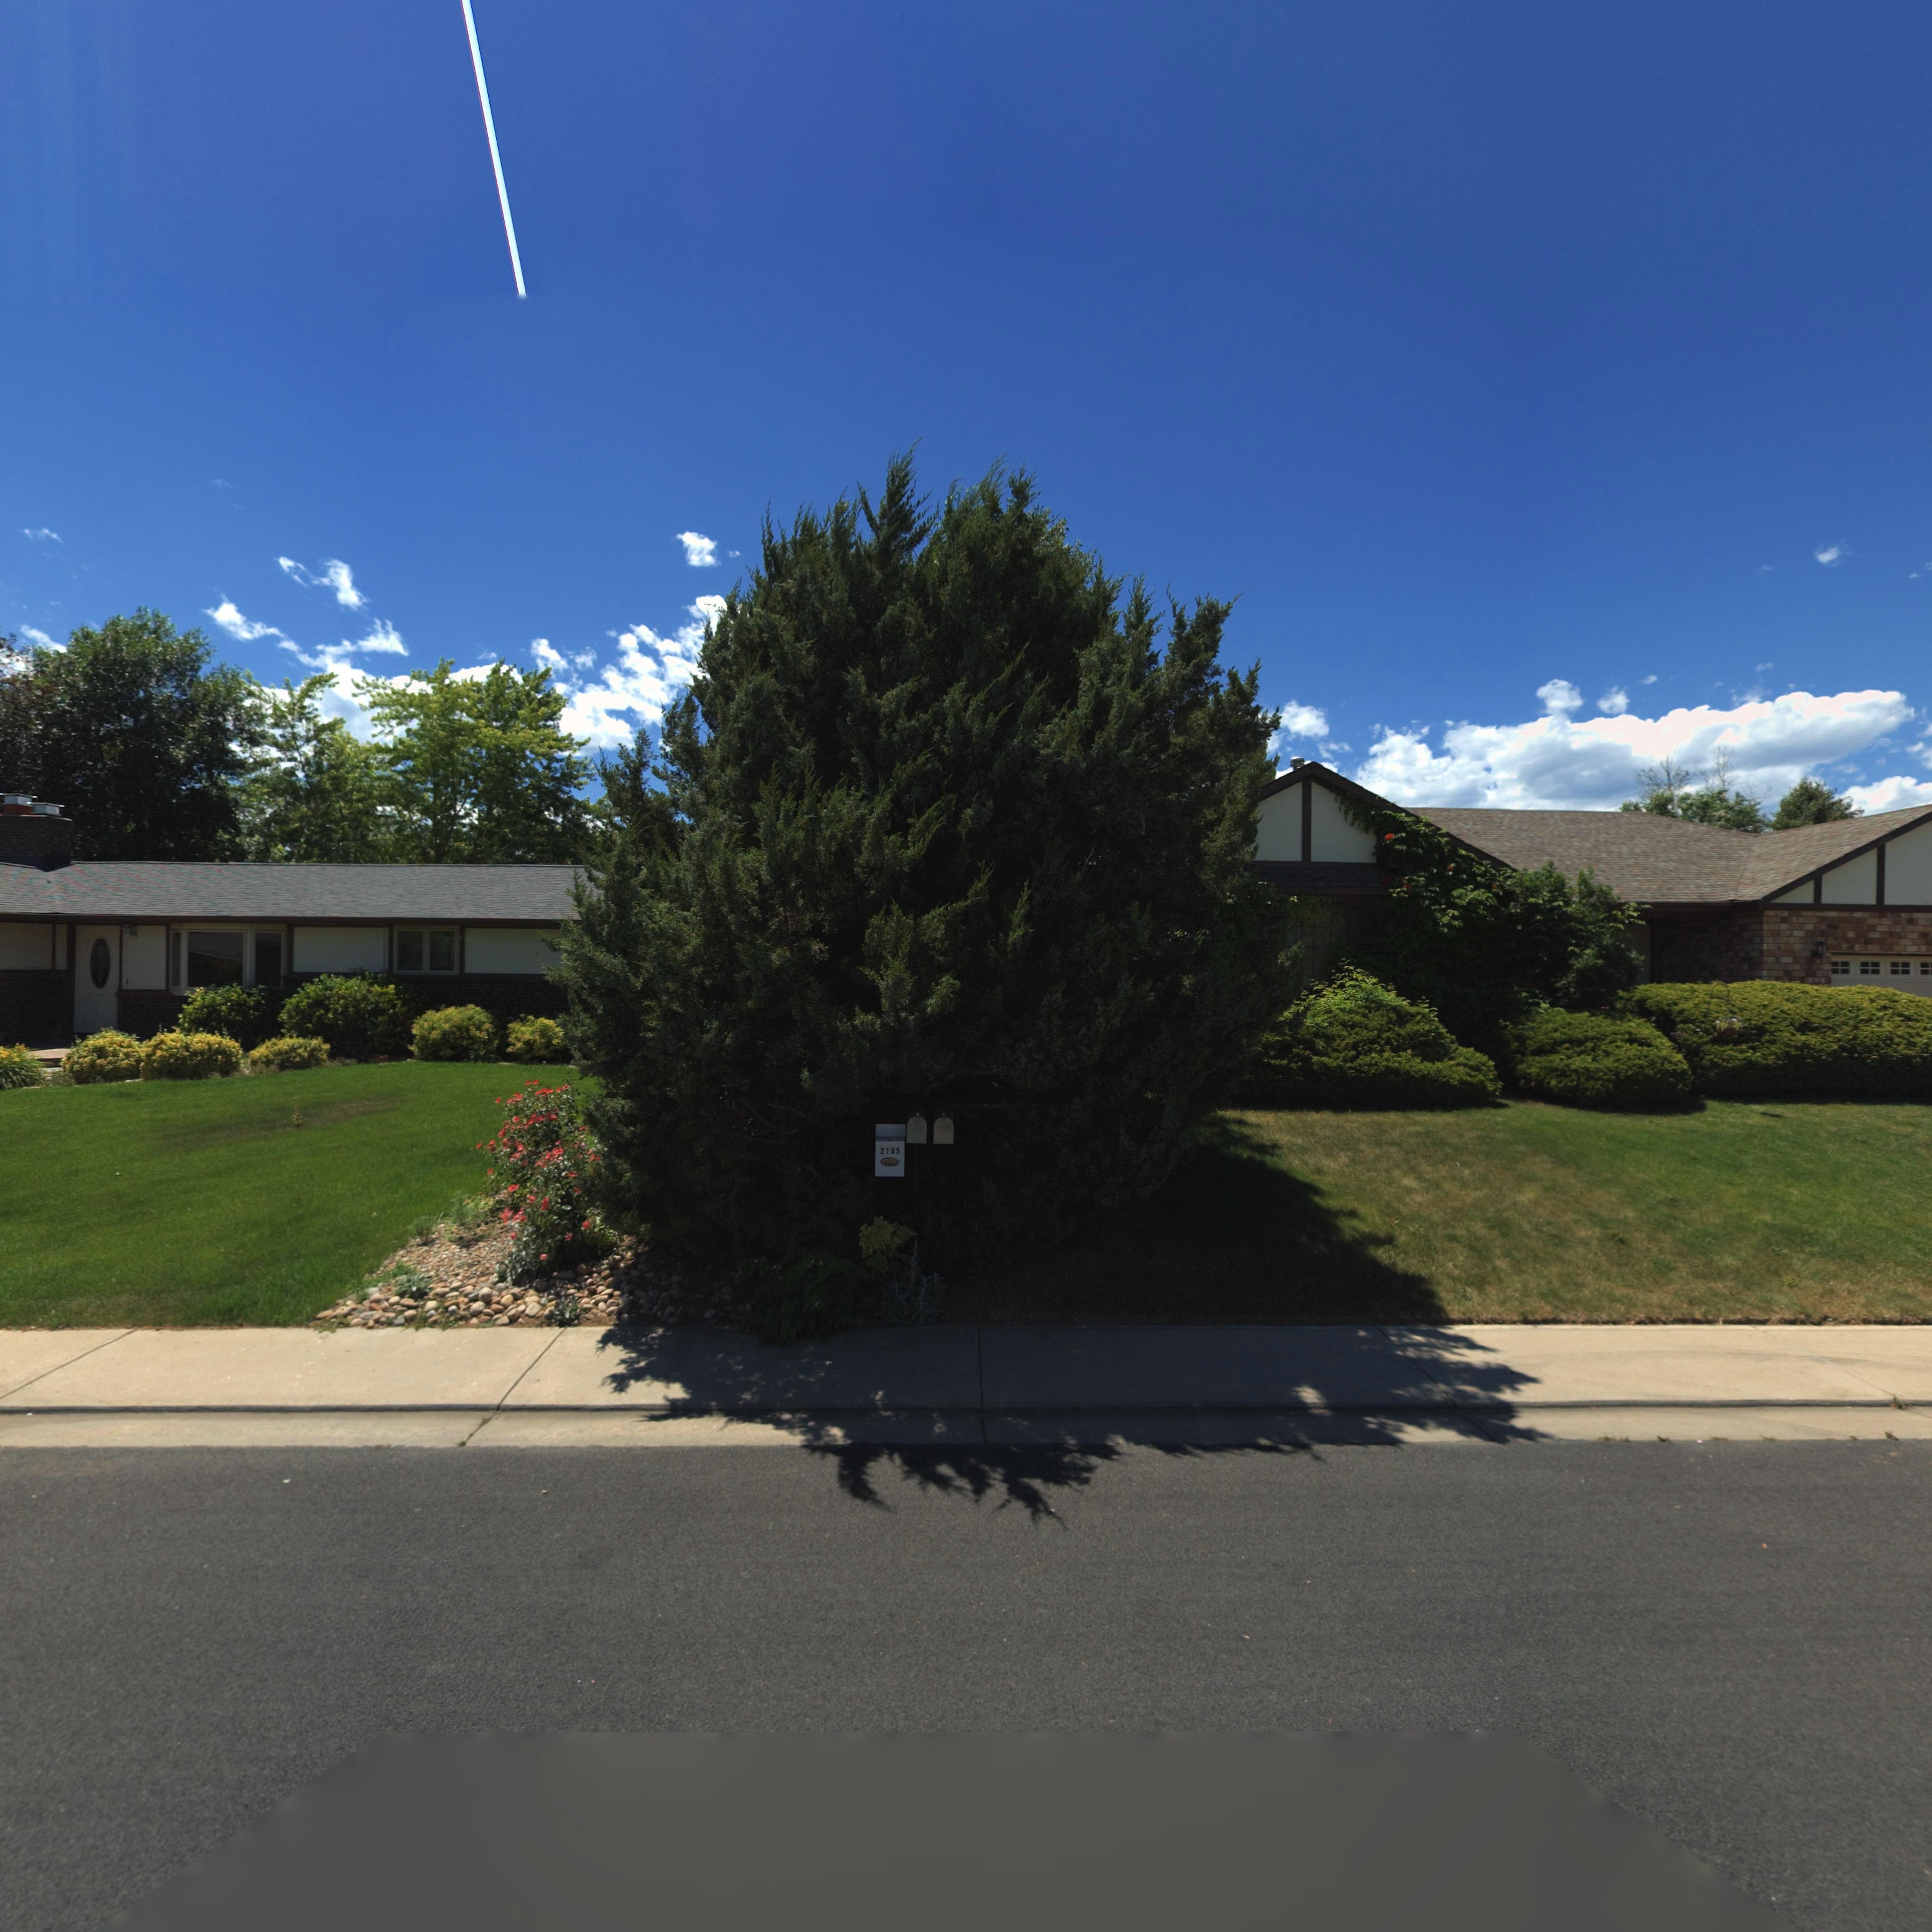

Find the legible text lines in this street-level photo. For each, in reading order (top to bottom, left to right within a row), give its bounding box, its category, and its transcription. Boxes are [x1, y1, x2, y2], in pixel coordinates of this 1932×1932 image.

[880, 1147, 900, 1154] StreetNumber: 2105